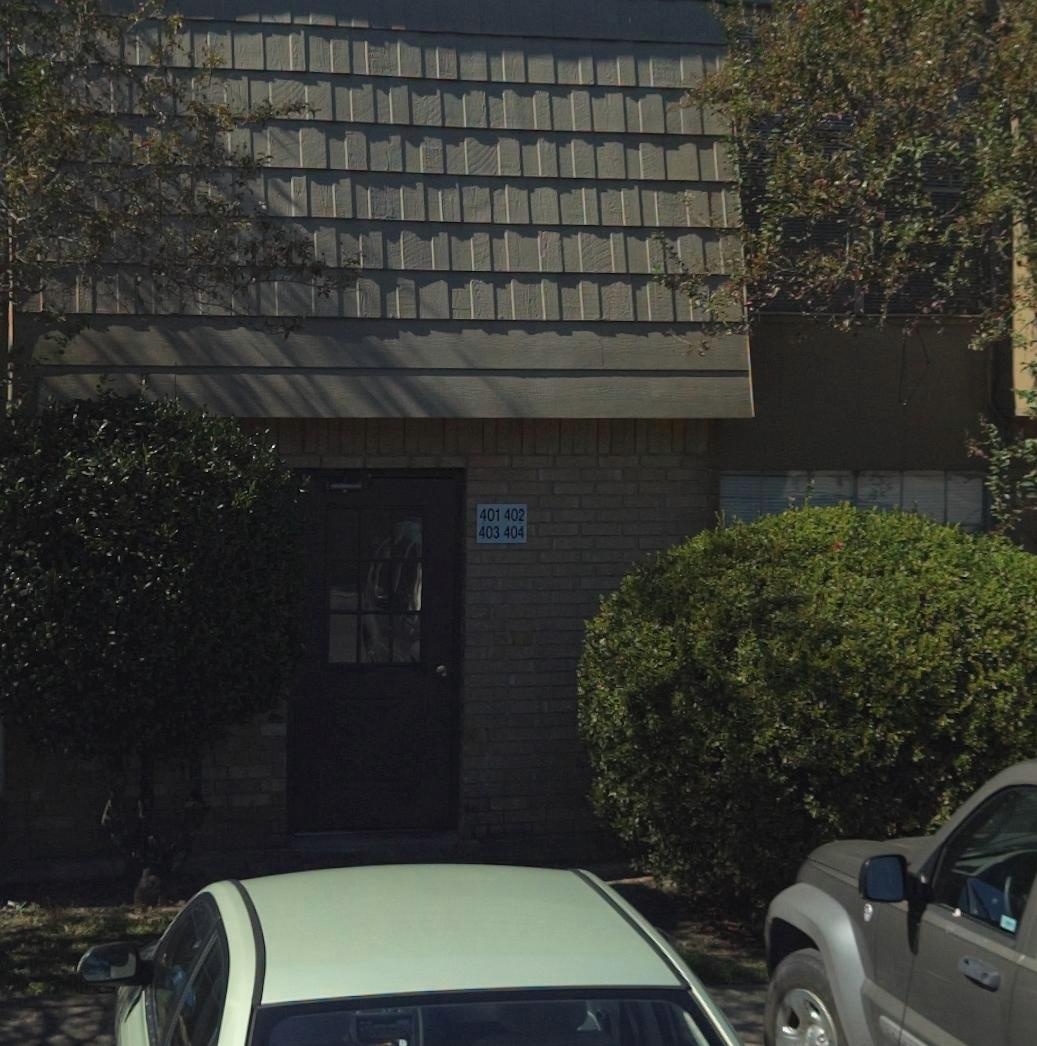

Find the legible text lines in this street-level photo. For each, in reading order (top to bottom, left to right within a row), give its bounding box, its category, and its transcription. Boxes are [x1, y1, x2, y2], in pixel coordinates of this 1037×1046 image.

[477, 506, 502, 523] StreetNumber: 401
[501, 506, 527, 523] StreetNumber: 402
[477, 523, 502, 541] StreetNumber: 403
[501, 523, 527, 541] StreetNumber: 404